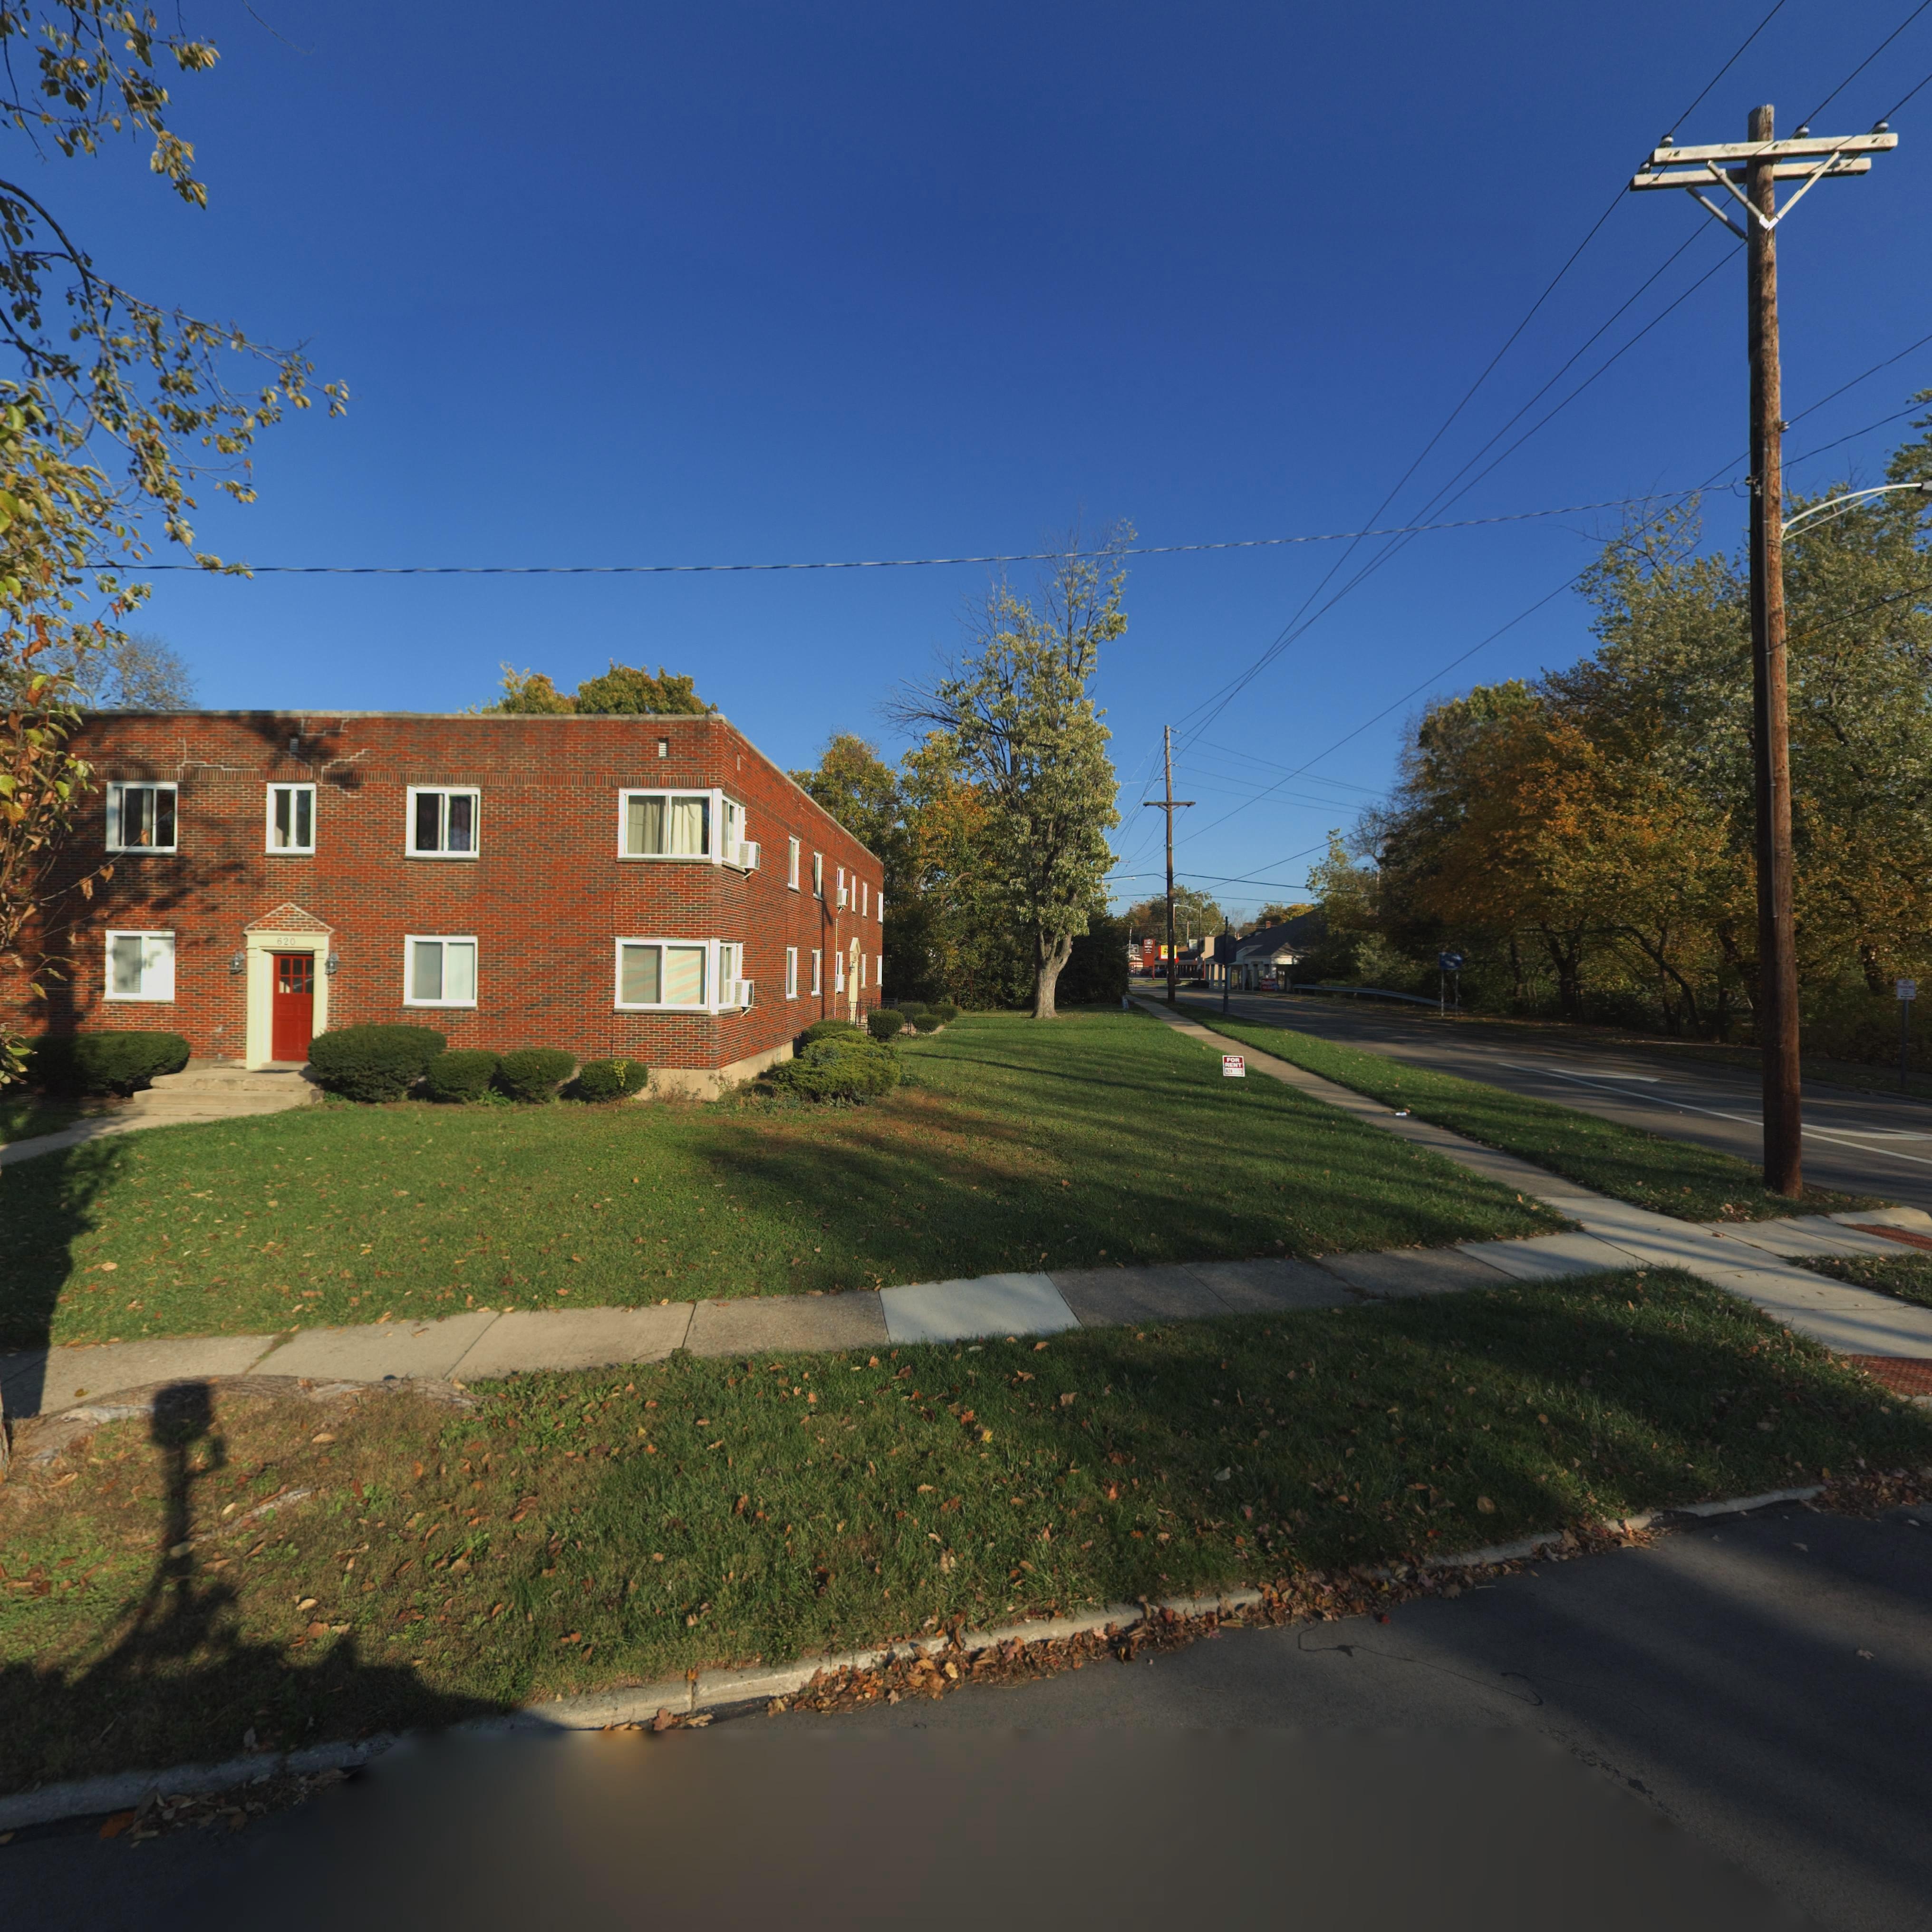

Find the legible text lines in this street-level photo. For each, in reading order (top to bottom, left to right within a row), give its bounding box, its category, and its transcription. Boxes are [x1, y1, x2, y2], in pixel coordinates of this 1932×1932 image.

[276, 936, 296, 946] StreetNumber: 620